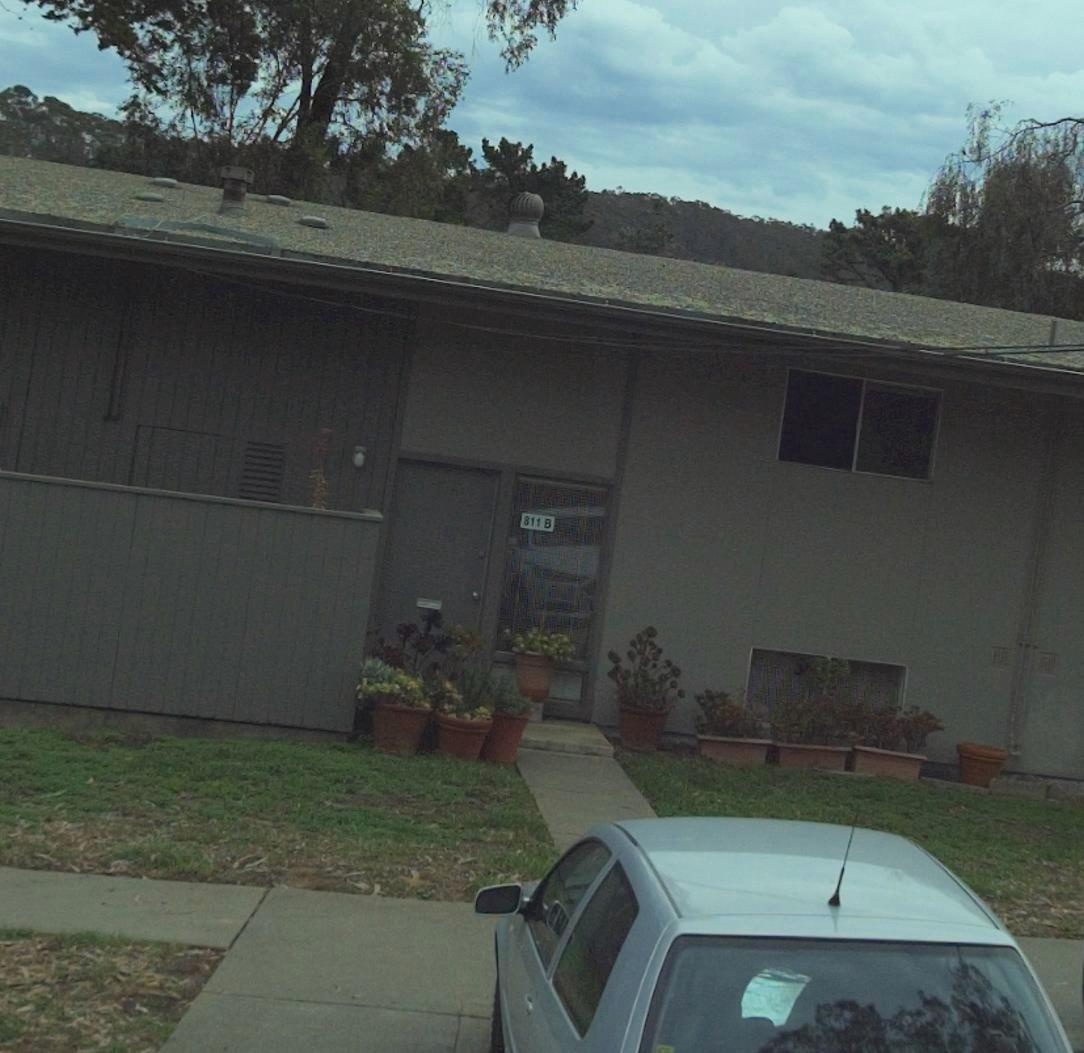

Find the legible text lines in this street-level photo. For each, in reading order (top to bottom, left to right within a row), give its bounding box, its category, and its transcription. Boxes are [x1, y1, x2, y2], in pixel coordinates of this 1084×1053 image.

[523, 515, 553, 531] StreetNumber: 811 B